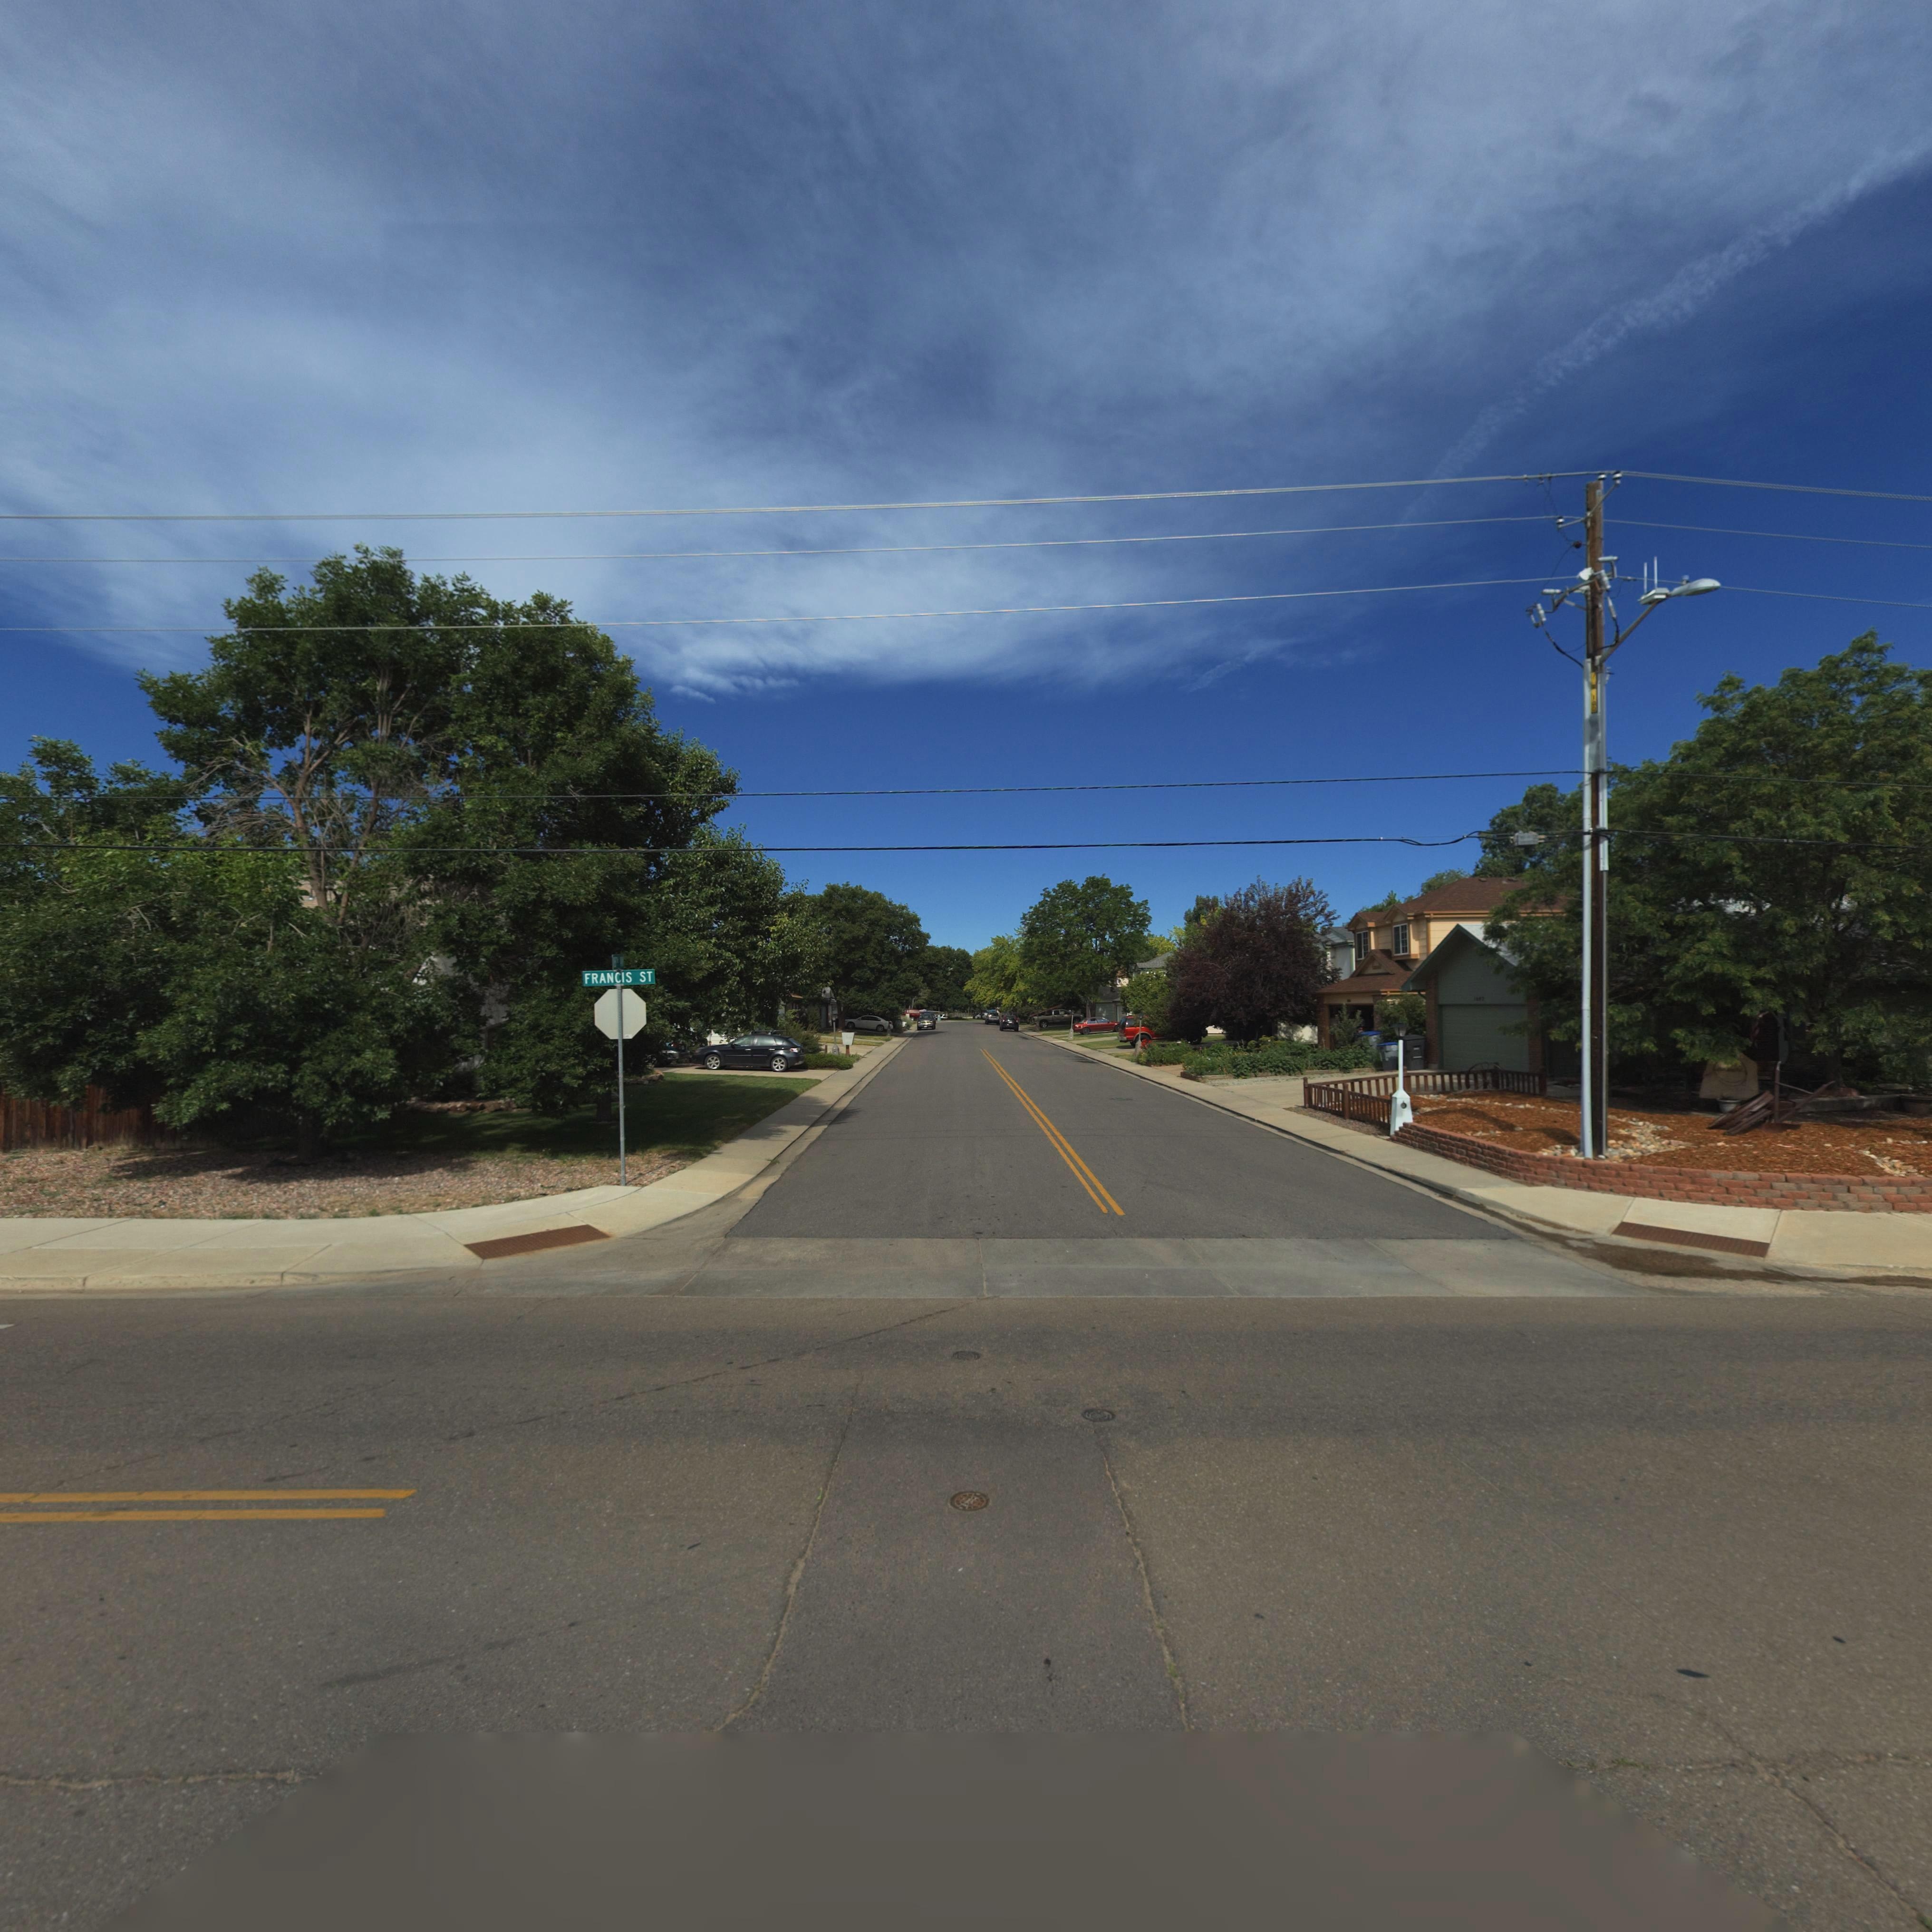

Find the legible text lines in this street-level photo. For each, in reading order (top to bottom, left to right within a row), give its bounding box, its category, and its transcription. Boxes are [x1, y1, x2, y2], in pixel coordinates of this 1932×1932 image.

[584, 971, 652, 984] StreetName: FRANCIS ST